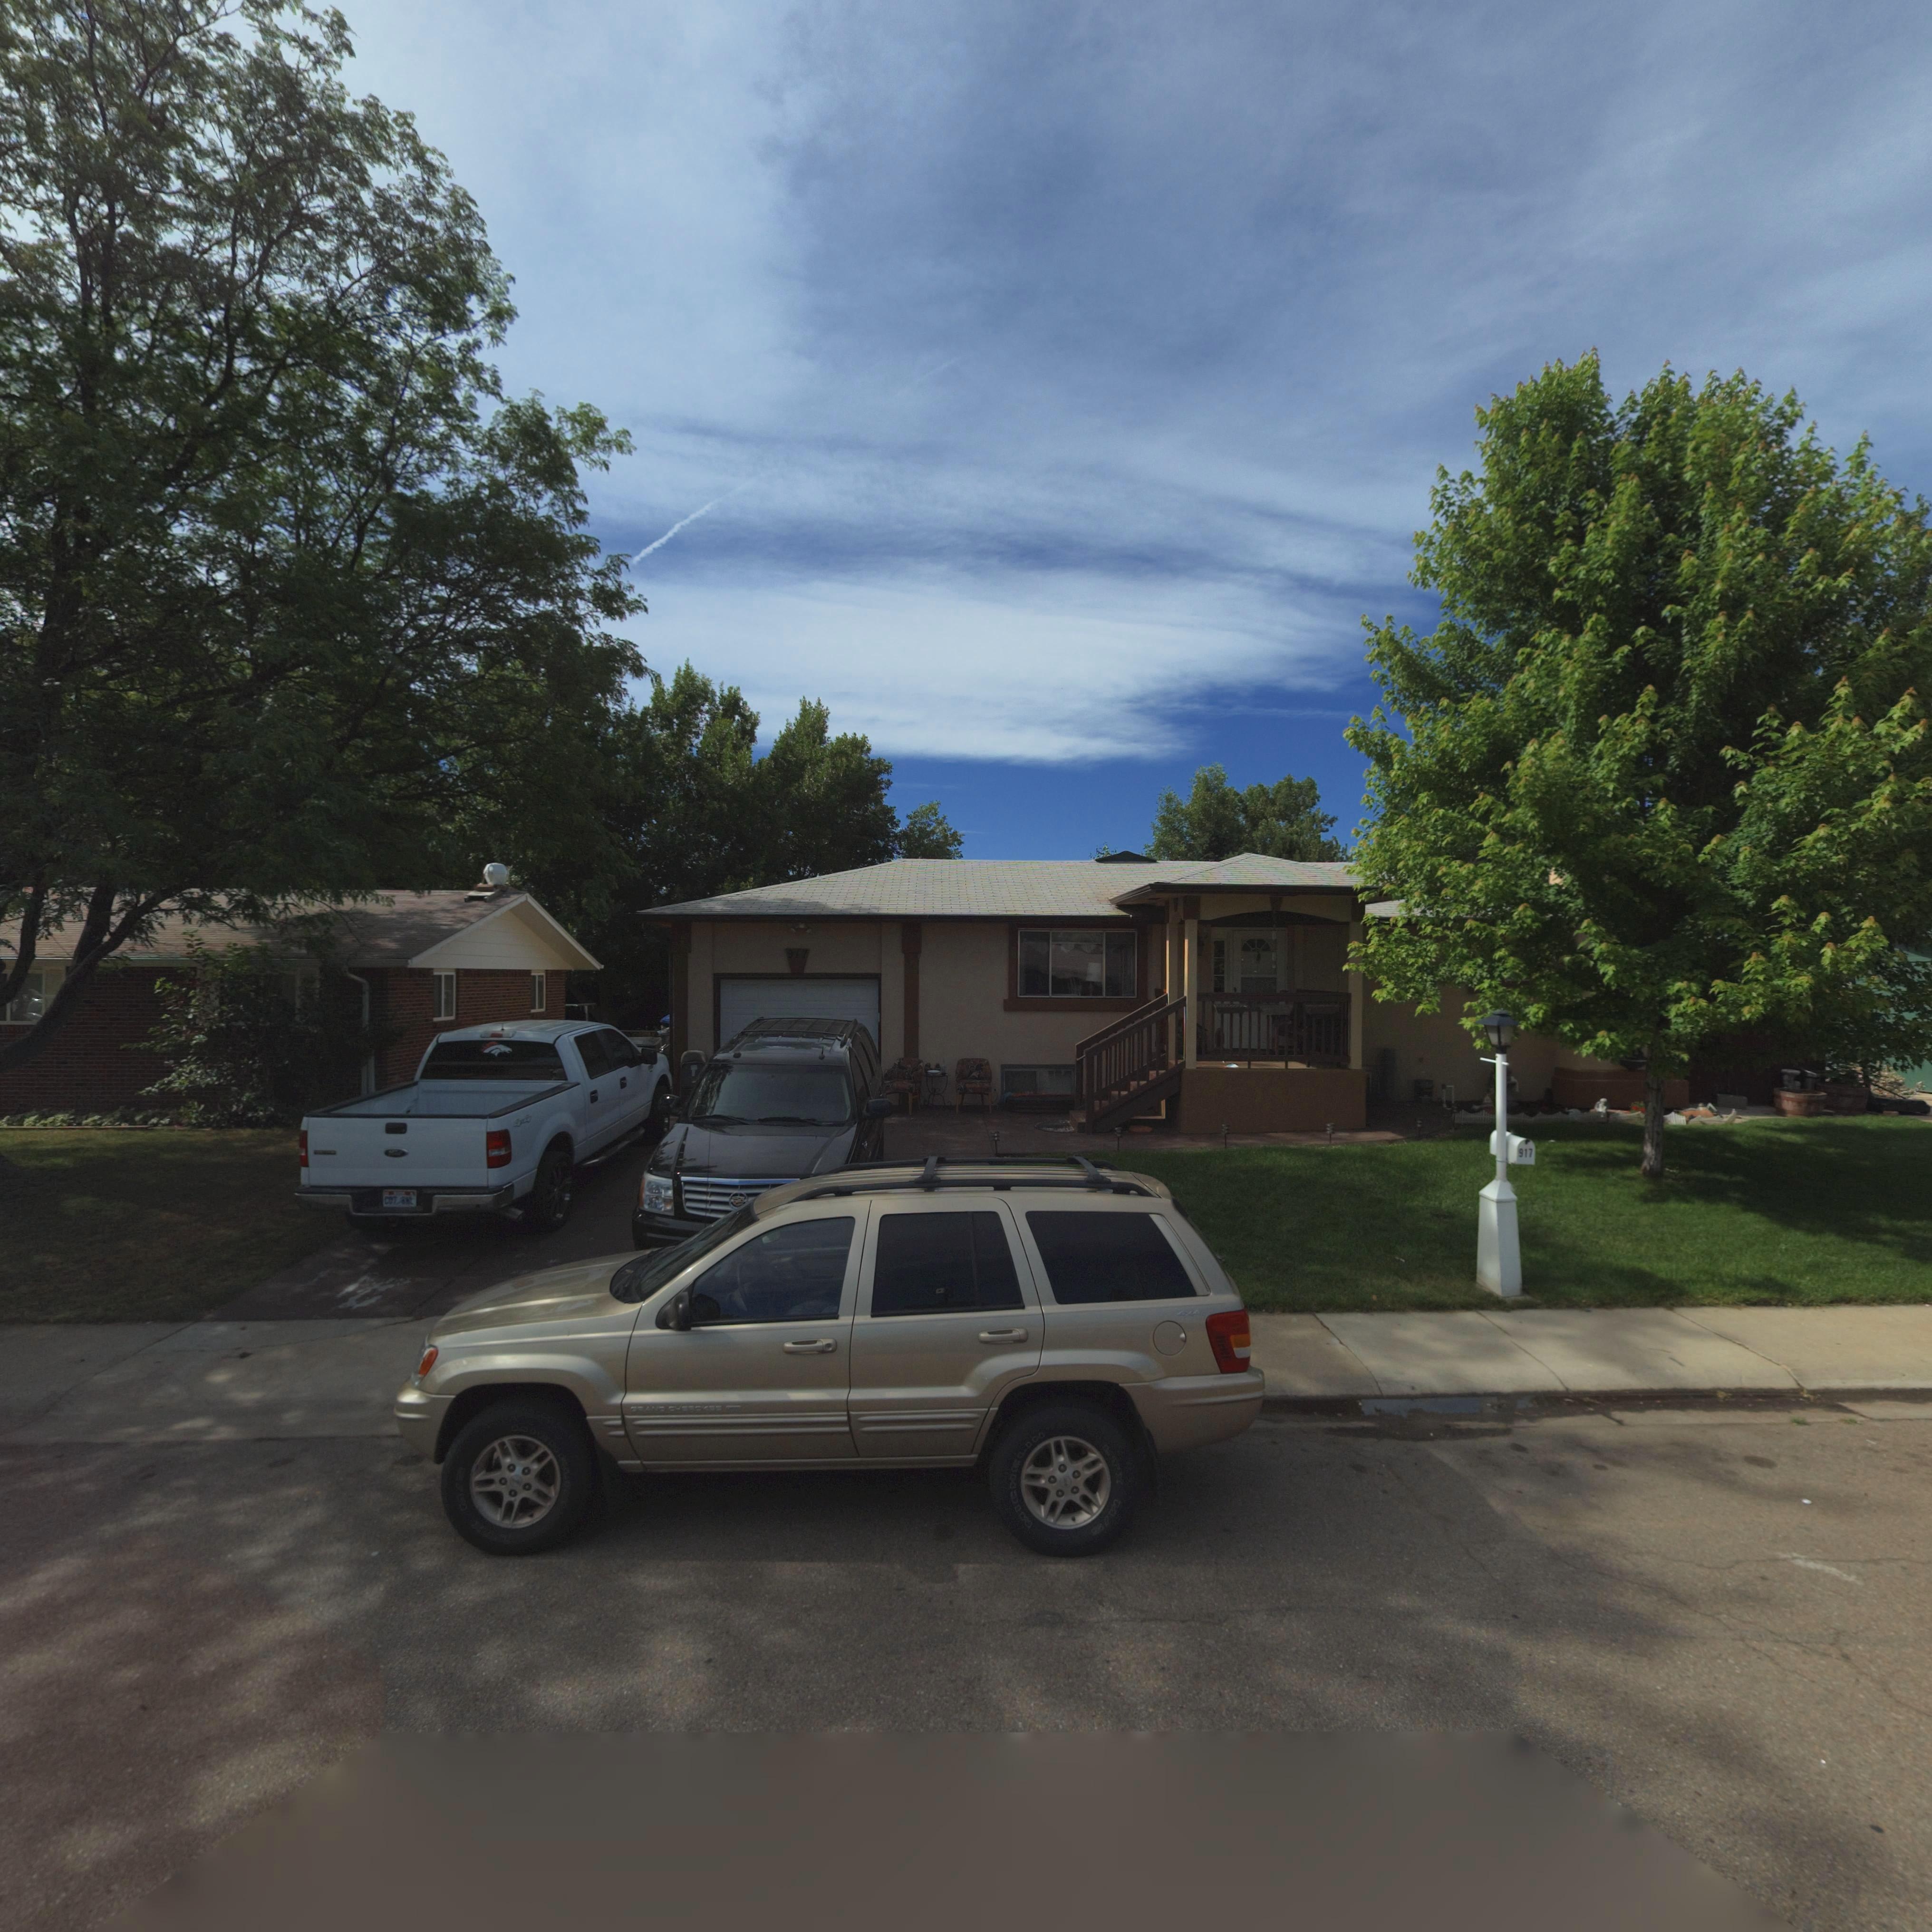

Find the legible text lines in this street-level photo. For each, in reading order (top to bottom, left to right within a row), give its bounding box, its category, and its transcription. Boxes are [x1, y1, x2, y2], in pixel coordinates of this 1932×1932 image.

[1518, 1148, 1533, 1158] StreetNumber: 917